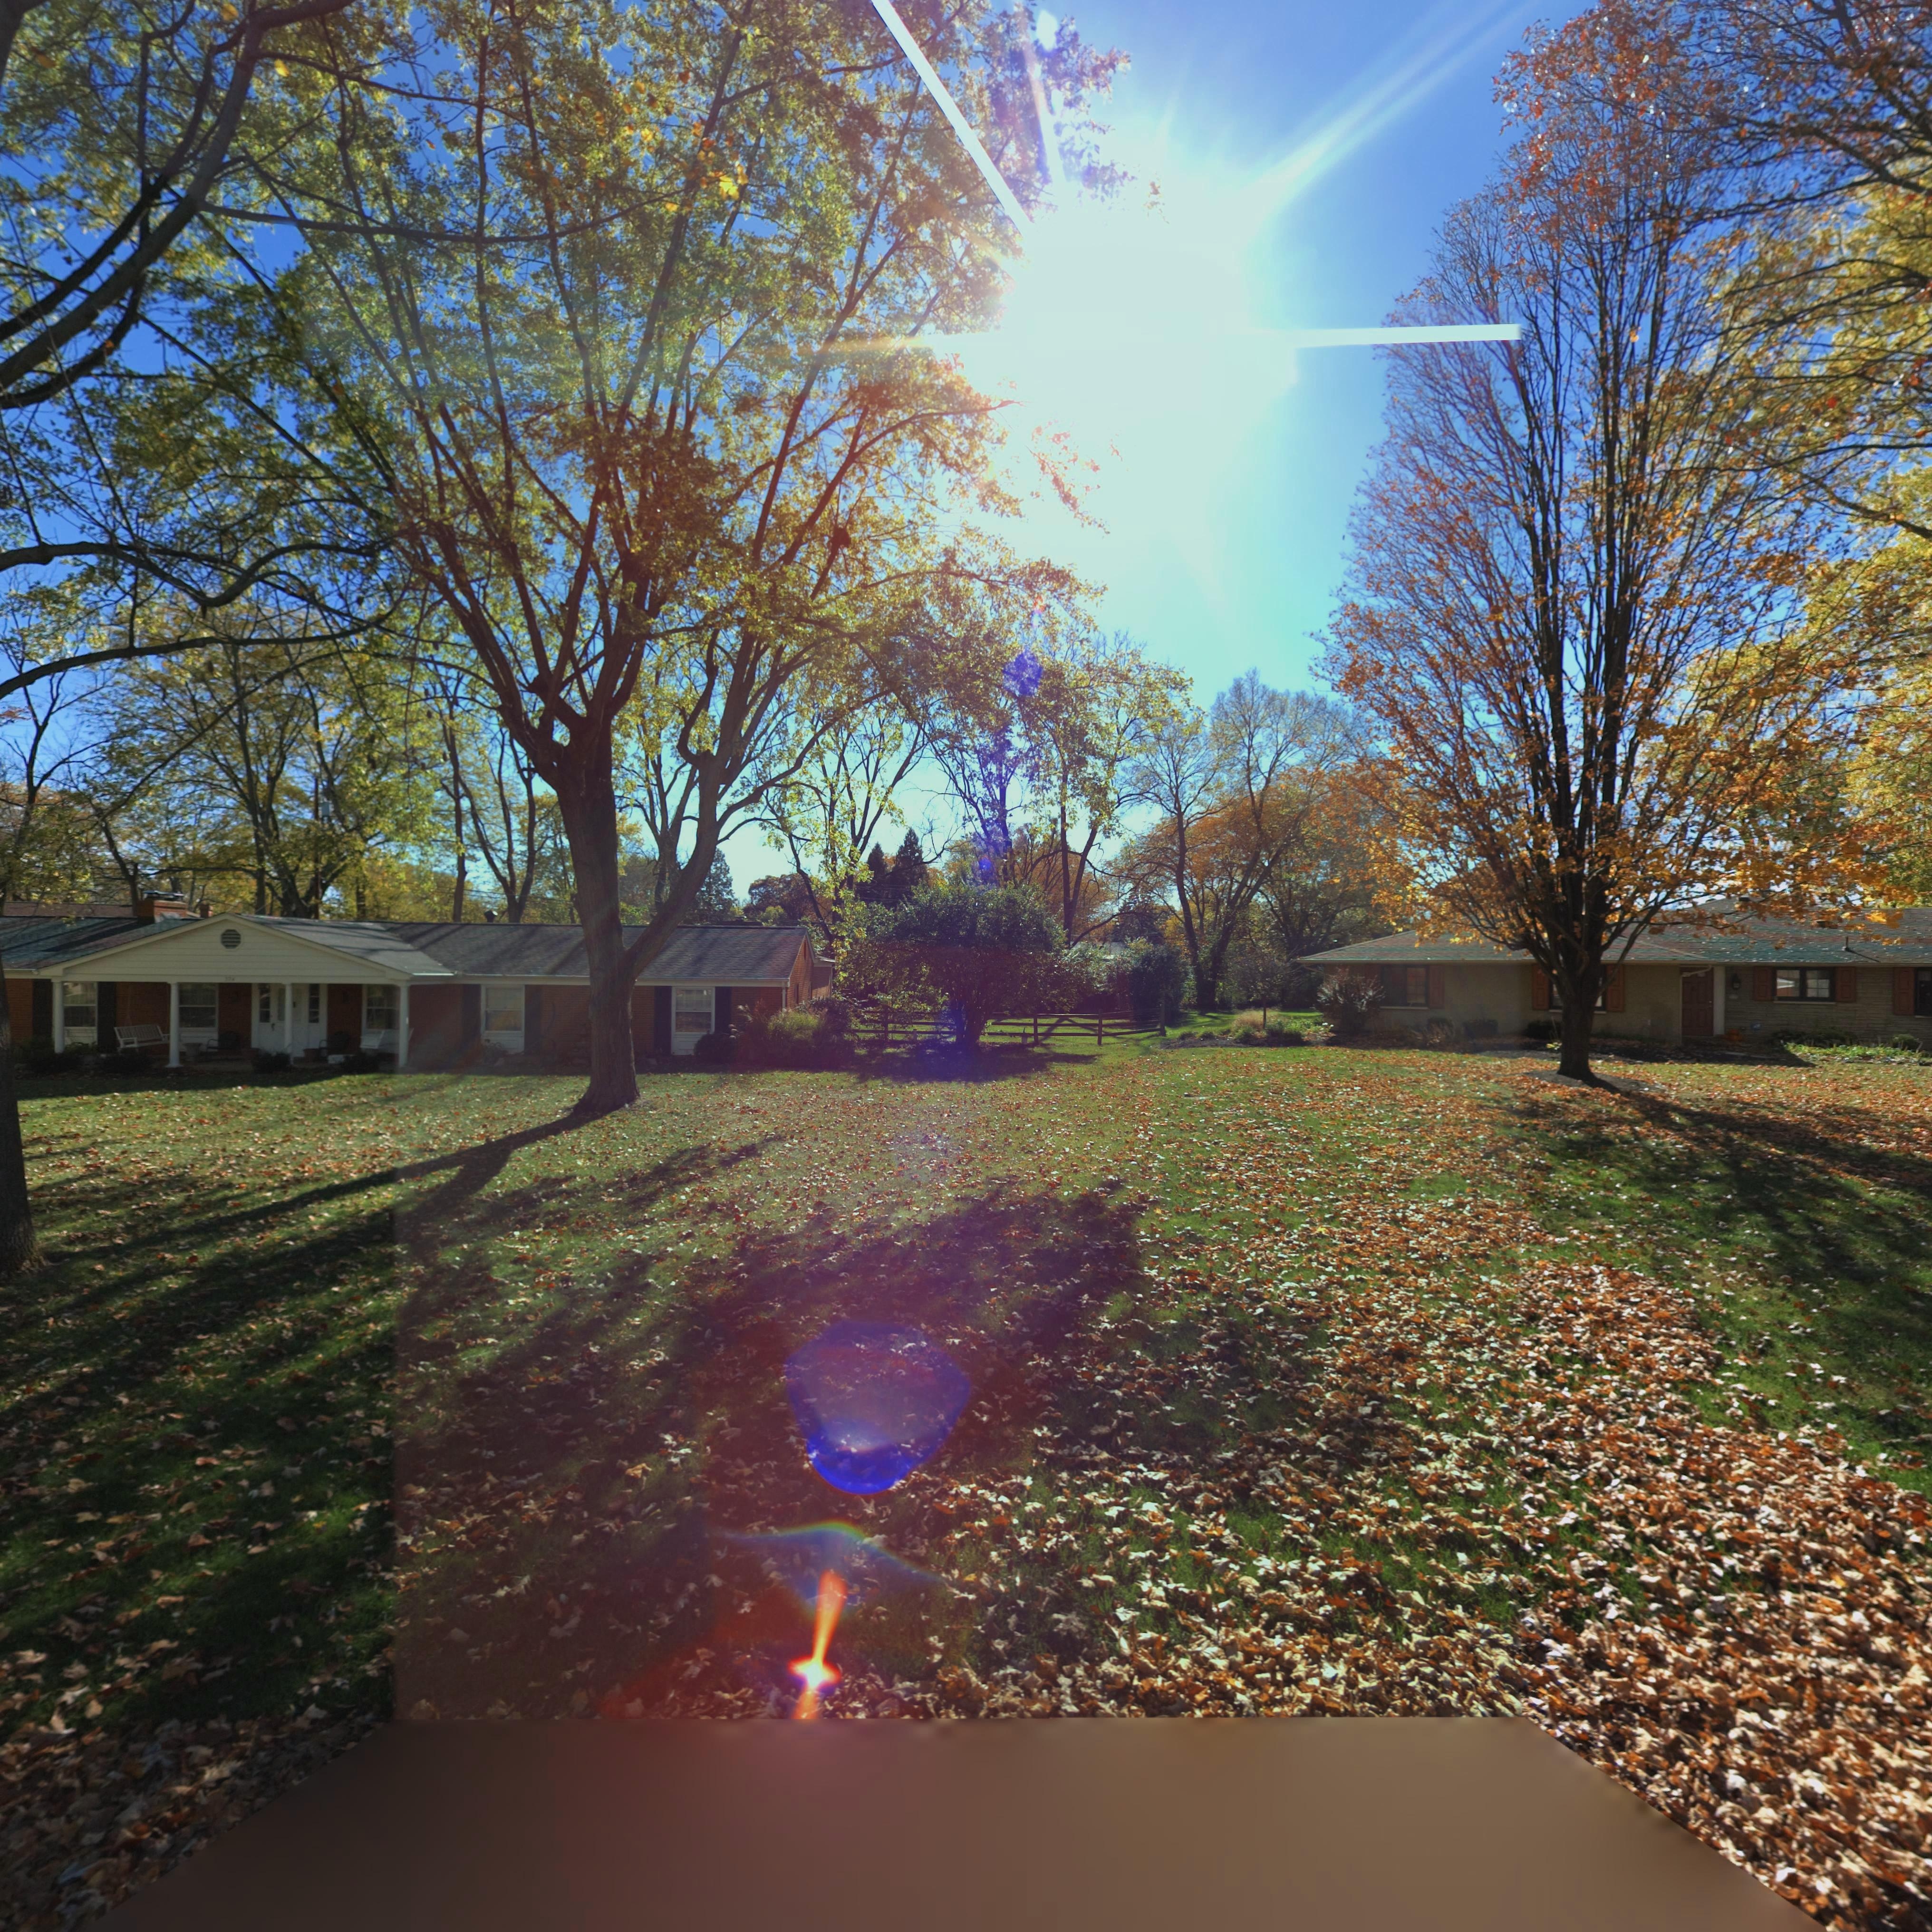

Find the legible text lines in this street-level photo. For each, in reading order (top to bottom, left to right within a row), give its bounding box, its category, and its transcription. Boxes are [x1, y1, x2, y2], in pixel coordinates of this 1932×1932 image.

[223, 976, 236, 983] StreetNumber: 37*